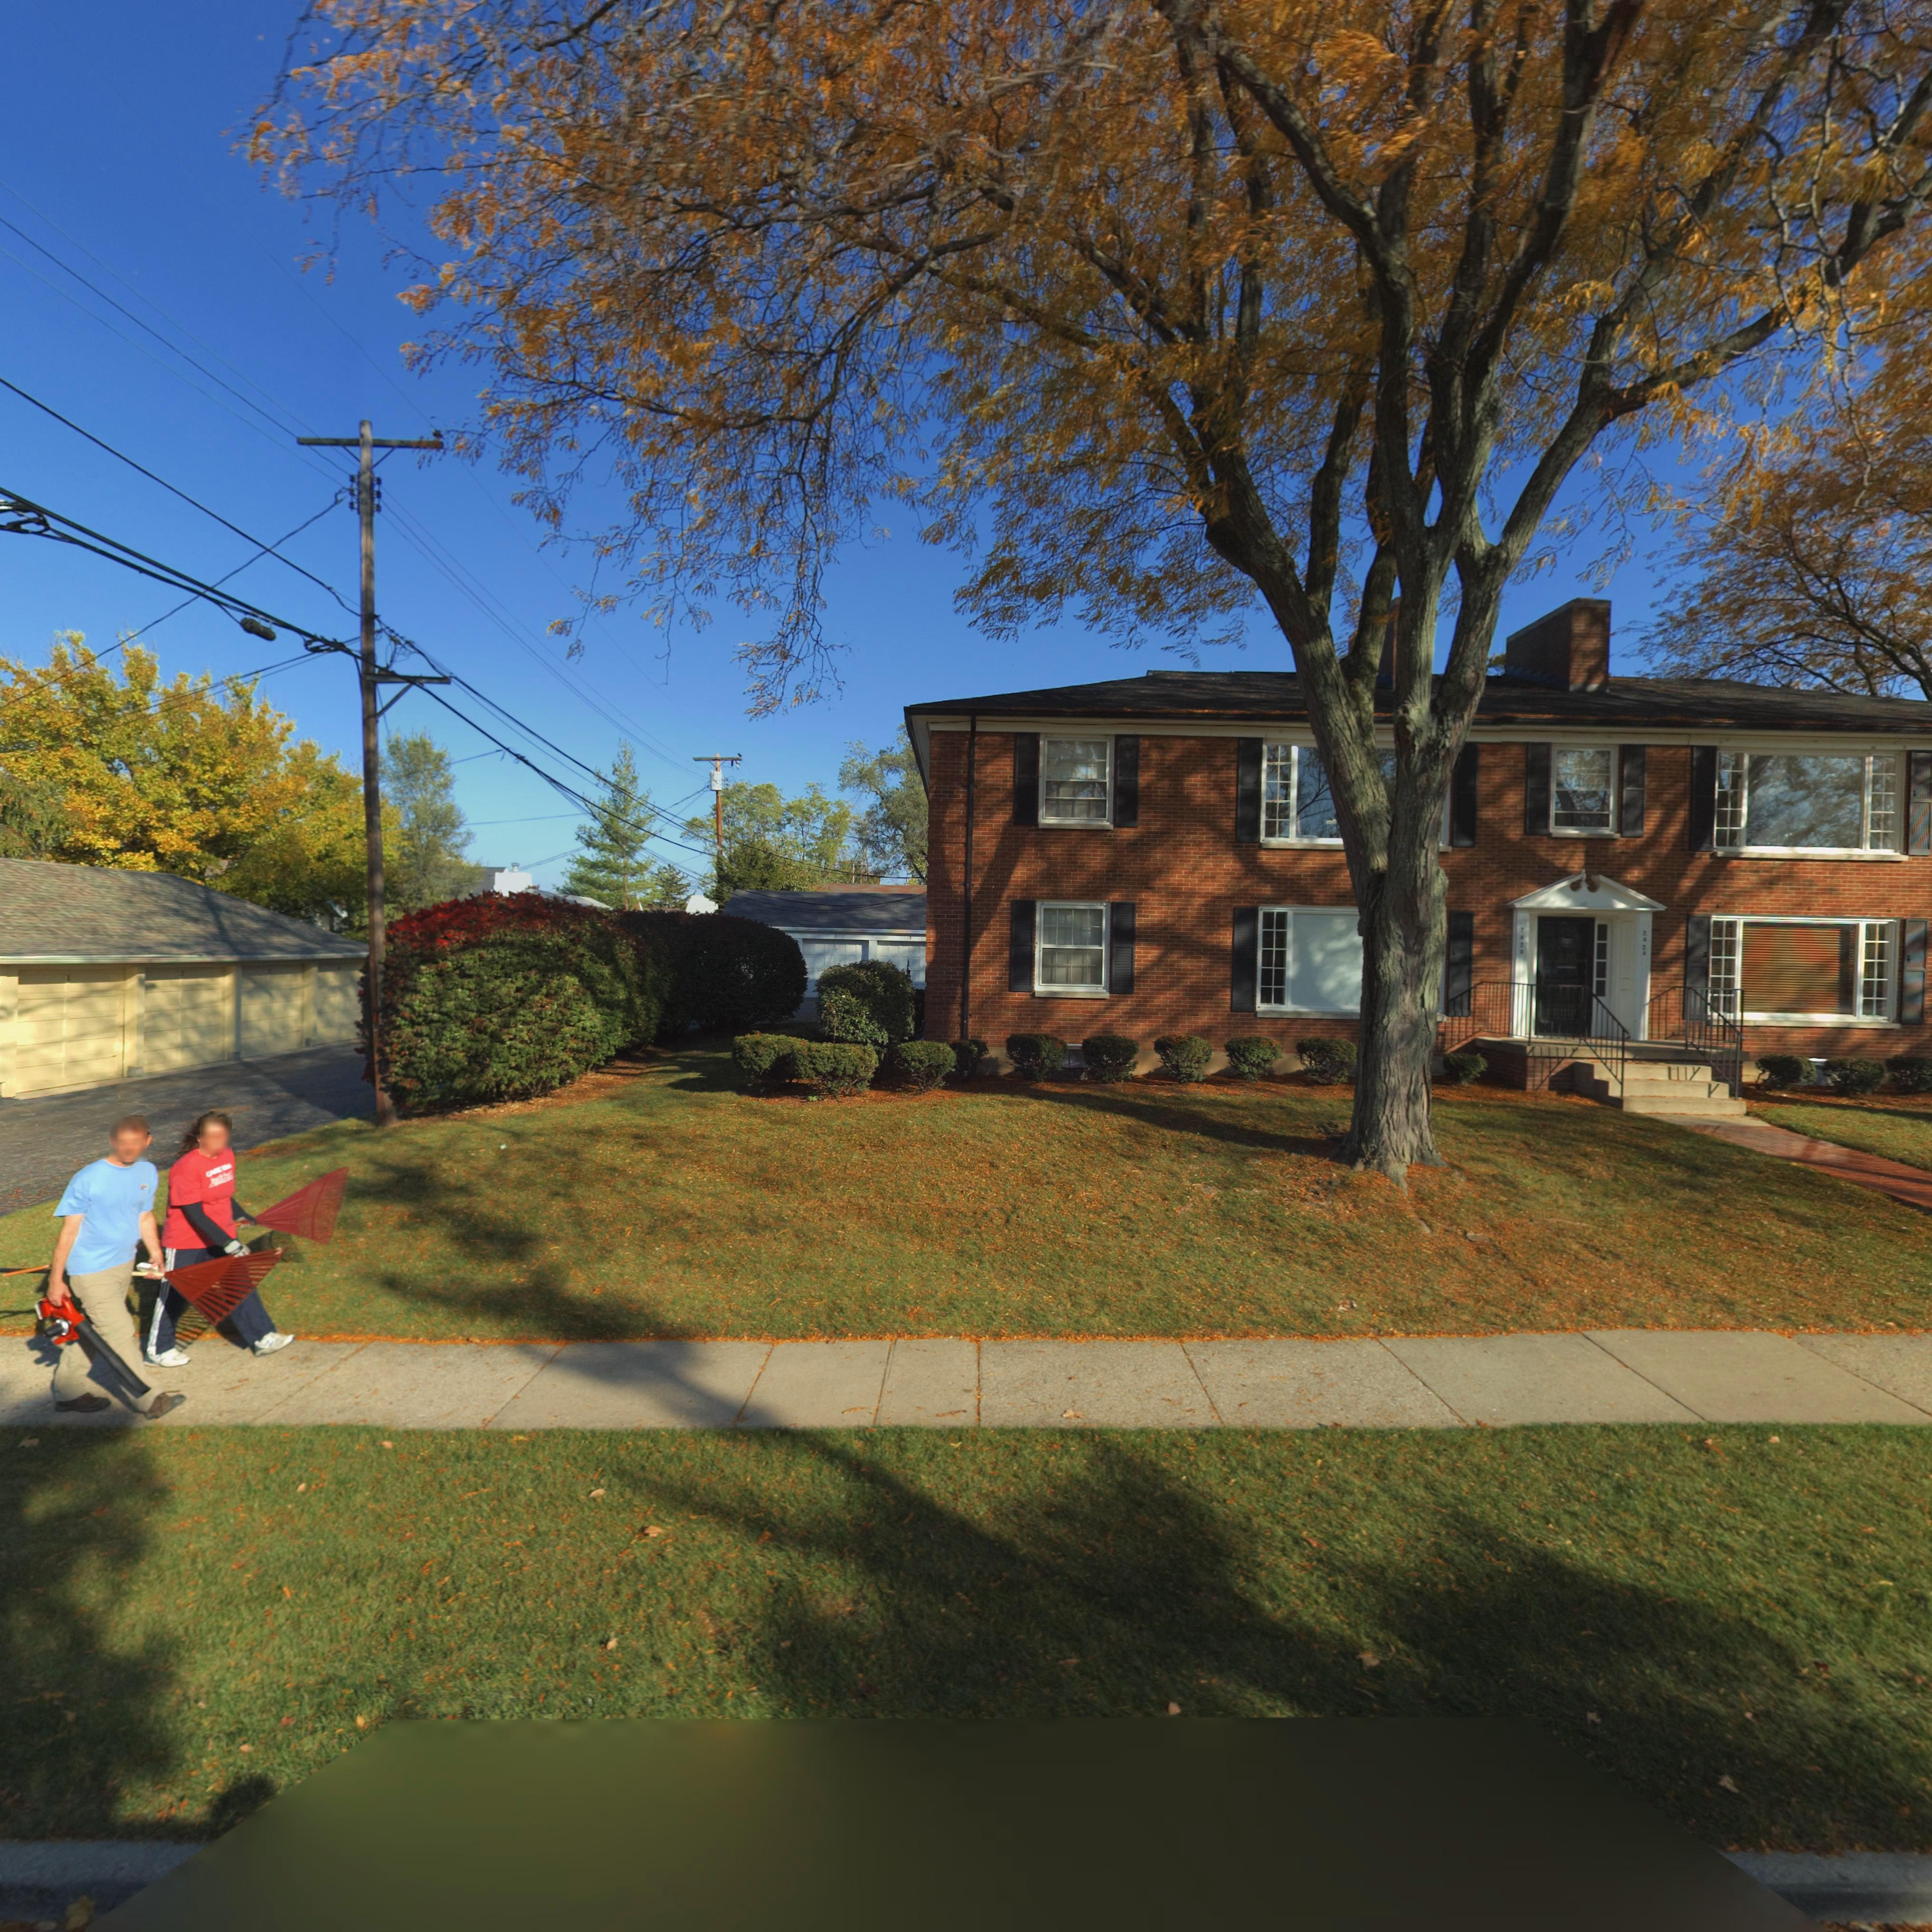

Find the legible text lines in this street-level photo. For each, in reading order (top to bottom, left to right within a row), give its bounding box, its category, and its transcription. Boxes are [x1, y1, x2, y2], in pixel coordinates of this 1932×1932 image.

[1518, 925, 1526, 956] StreetNumber: 242*
[1641, 929, 1648, 958] StreetNumber: 2424